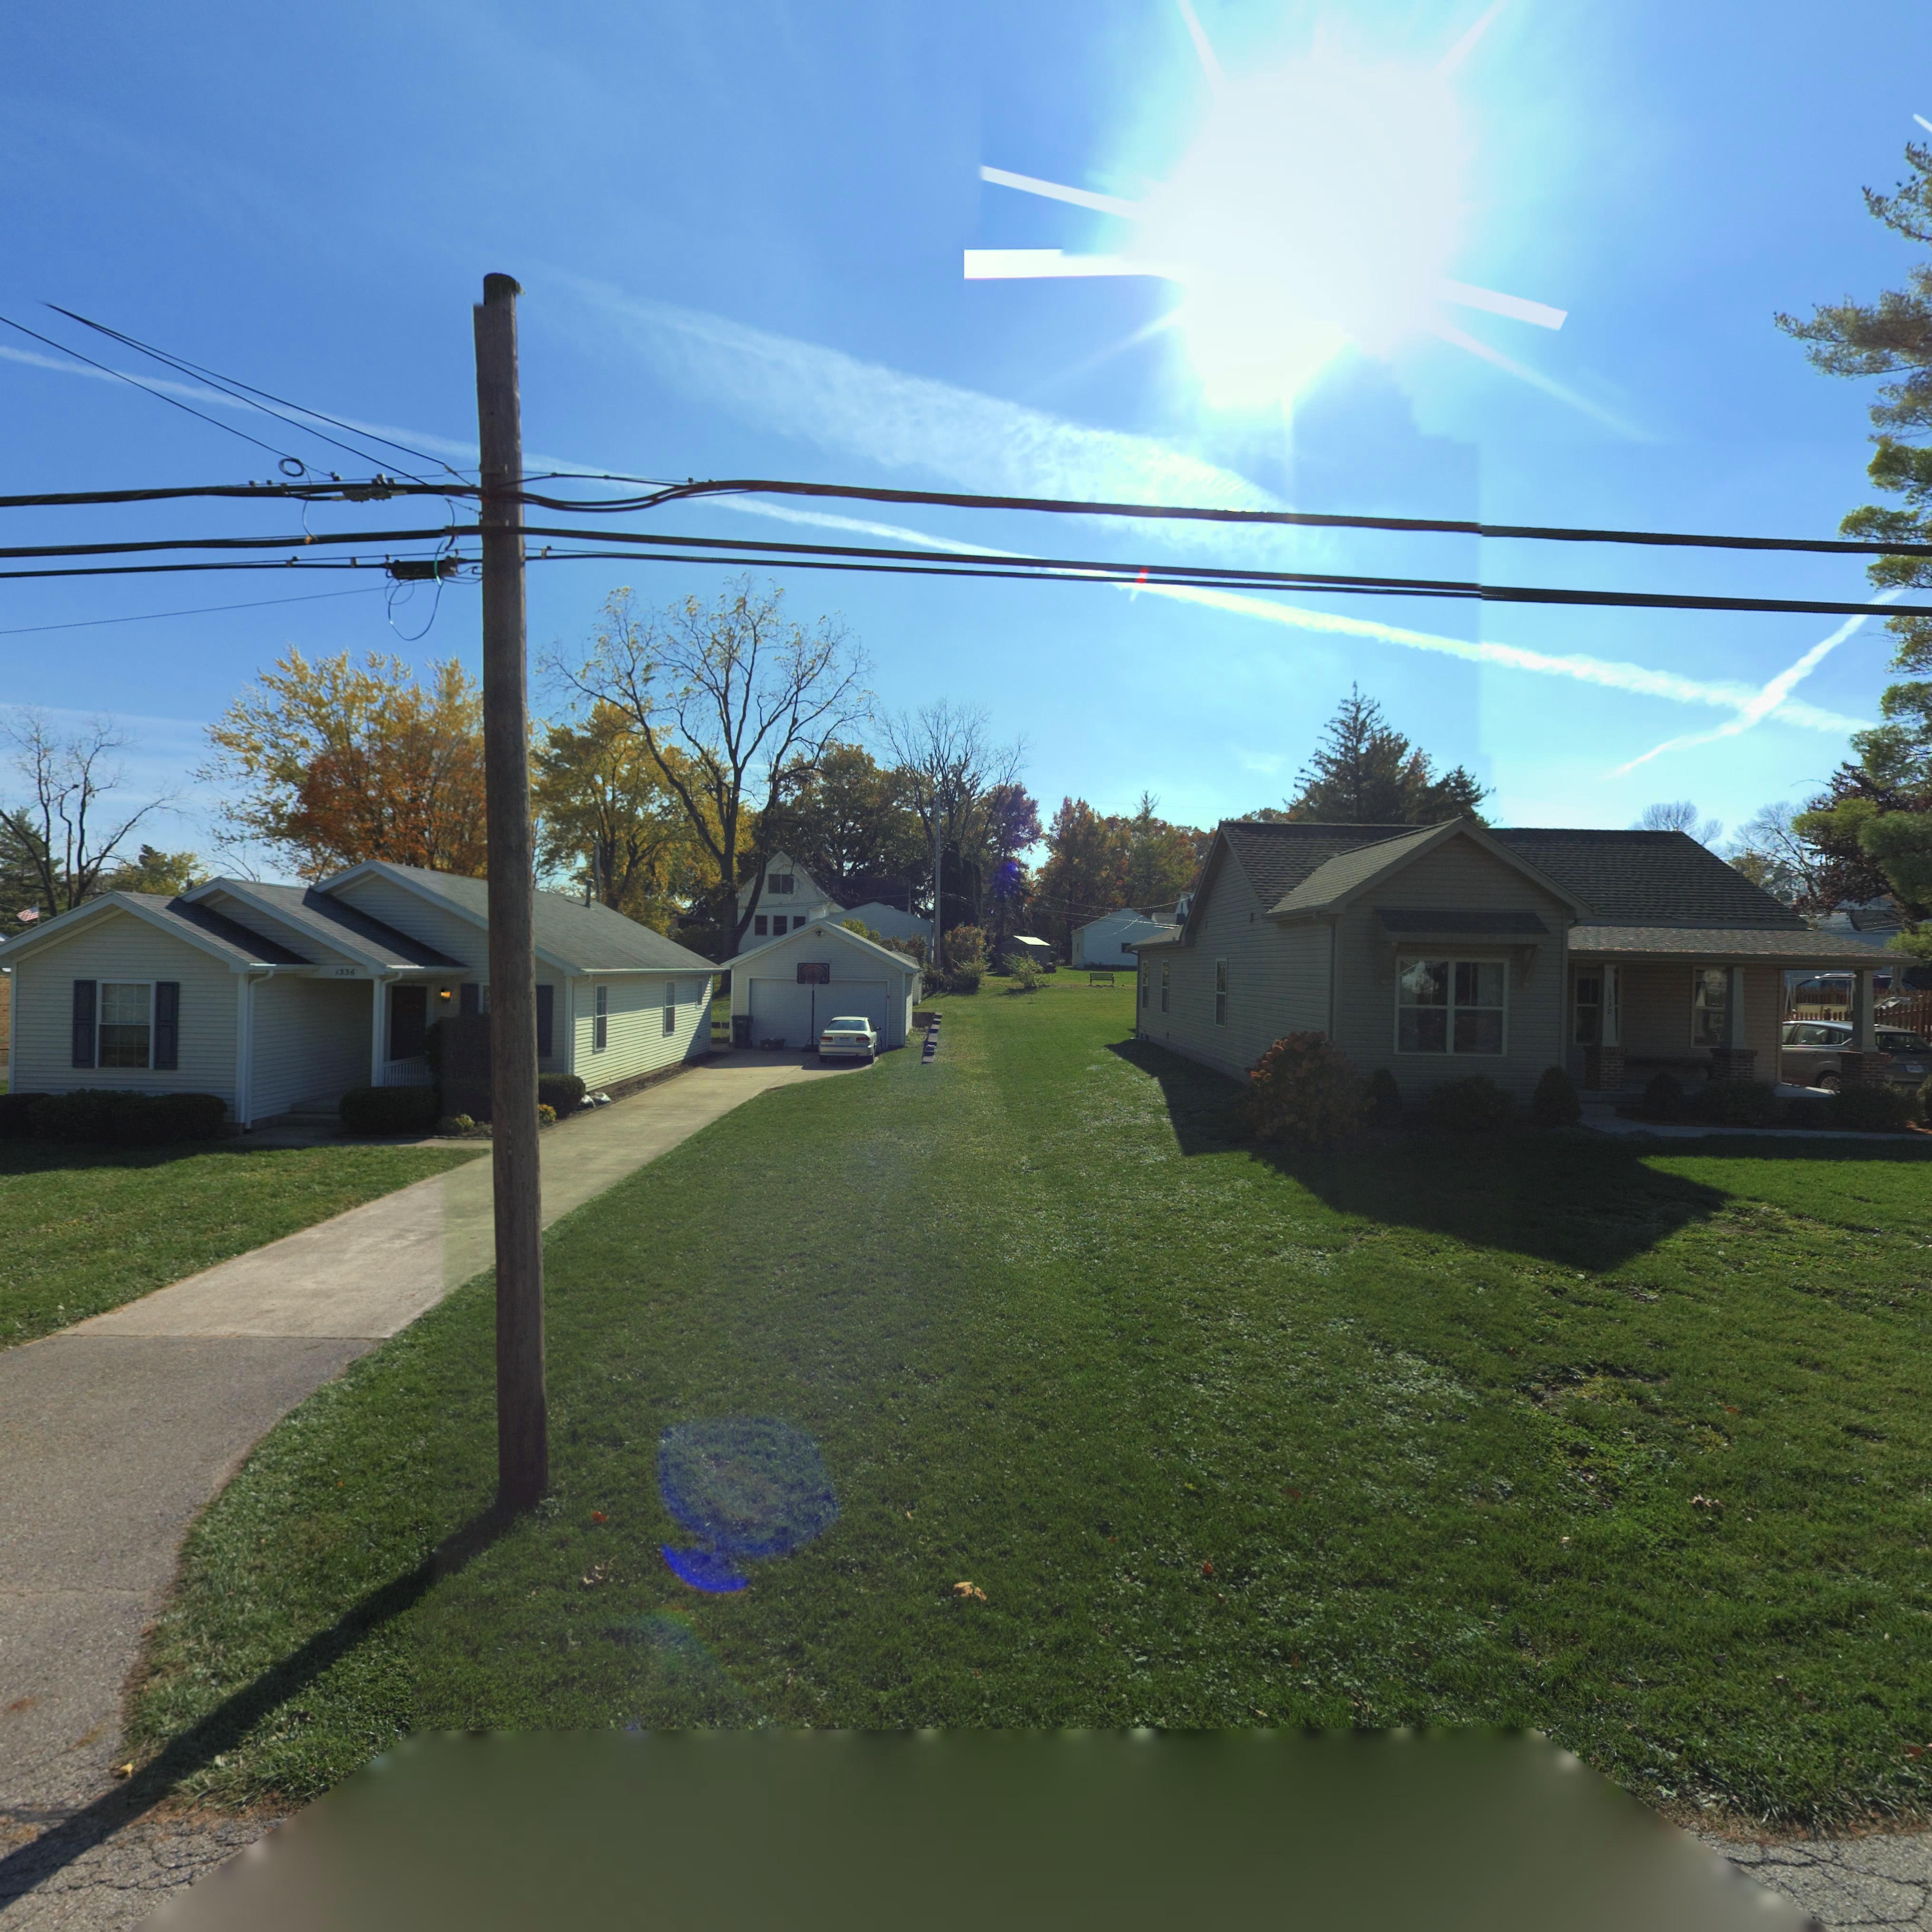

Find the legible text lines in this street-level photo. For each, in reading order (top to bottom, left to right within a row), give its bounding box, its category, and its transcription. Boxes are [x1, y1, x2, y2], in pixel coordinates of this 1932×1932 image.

[334, 967, 356, 976] StreetNumber: 1336
[1607, 986, 1613, 1015] StreetNumber: 1330